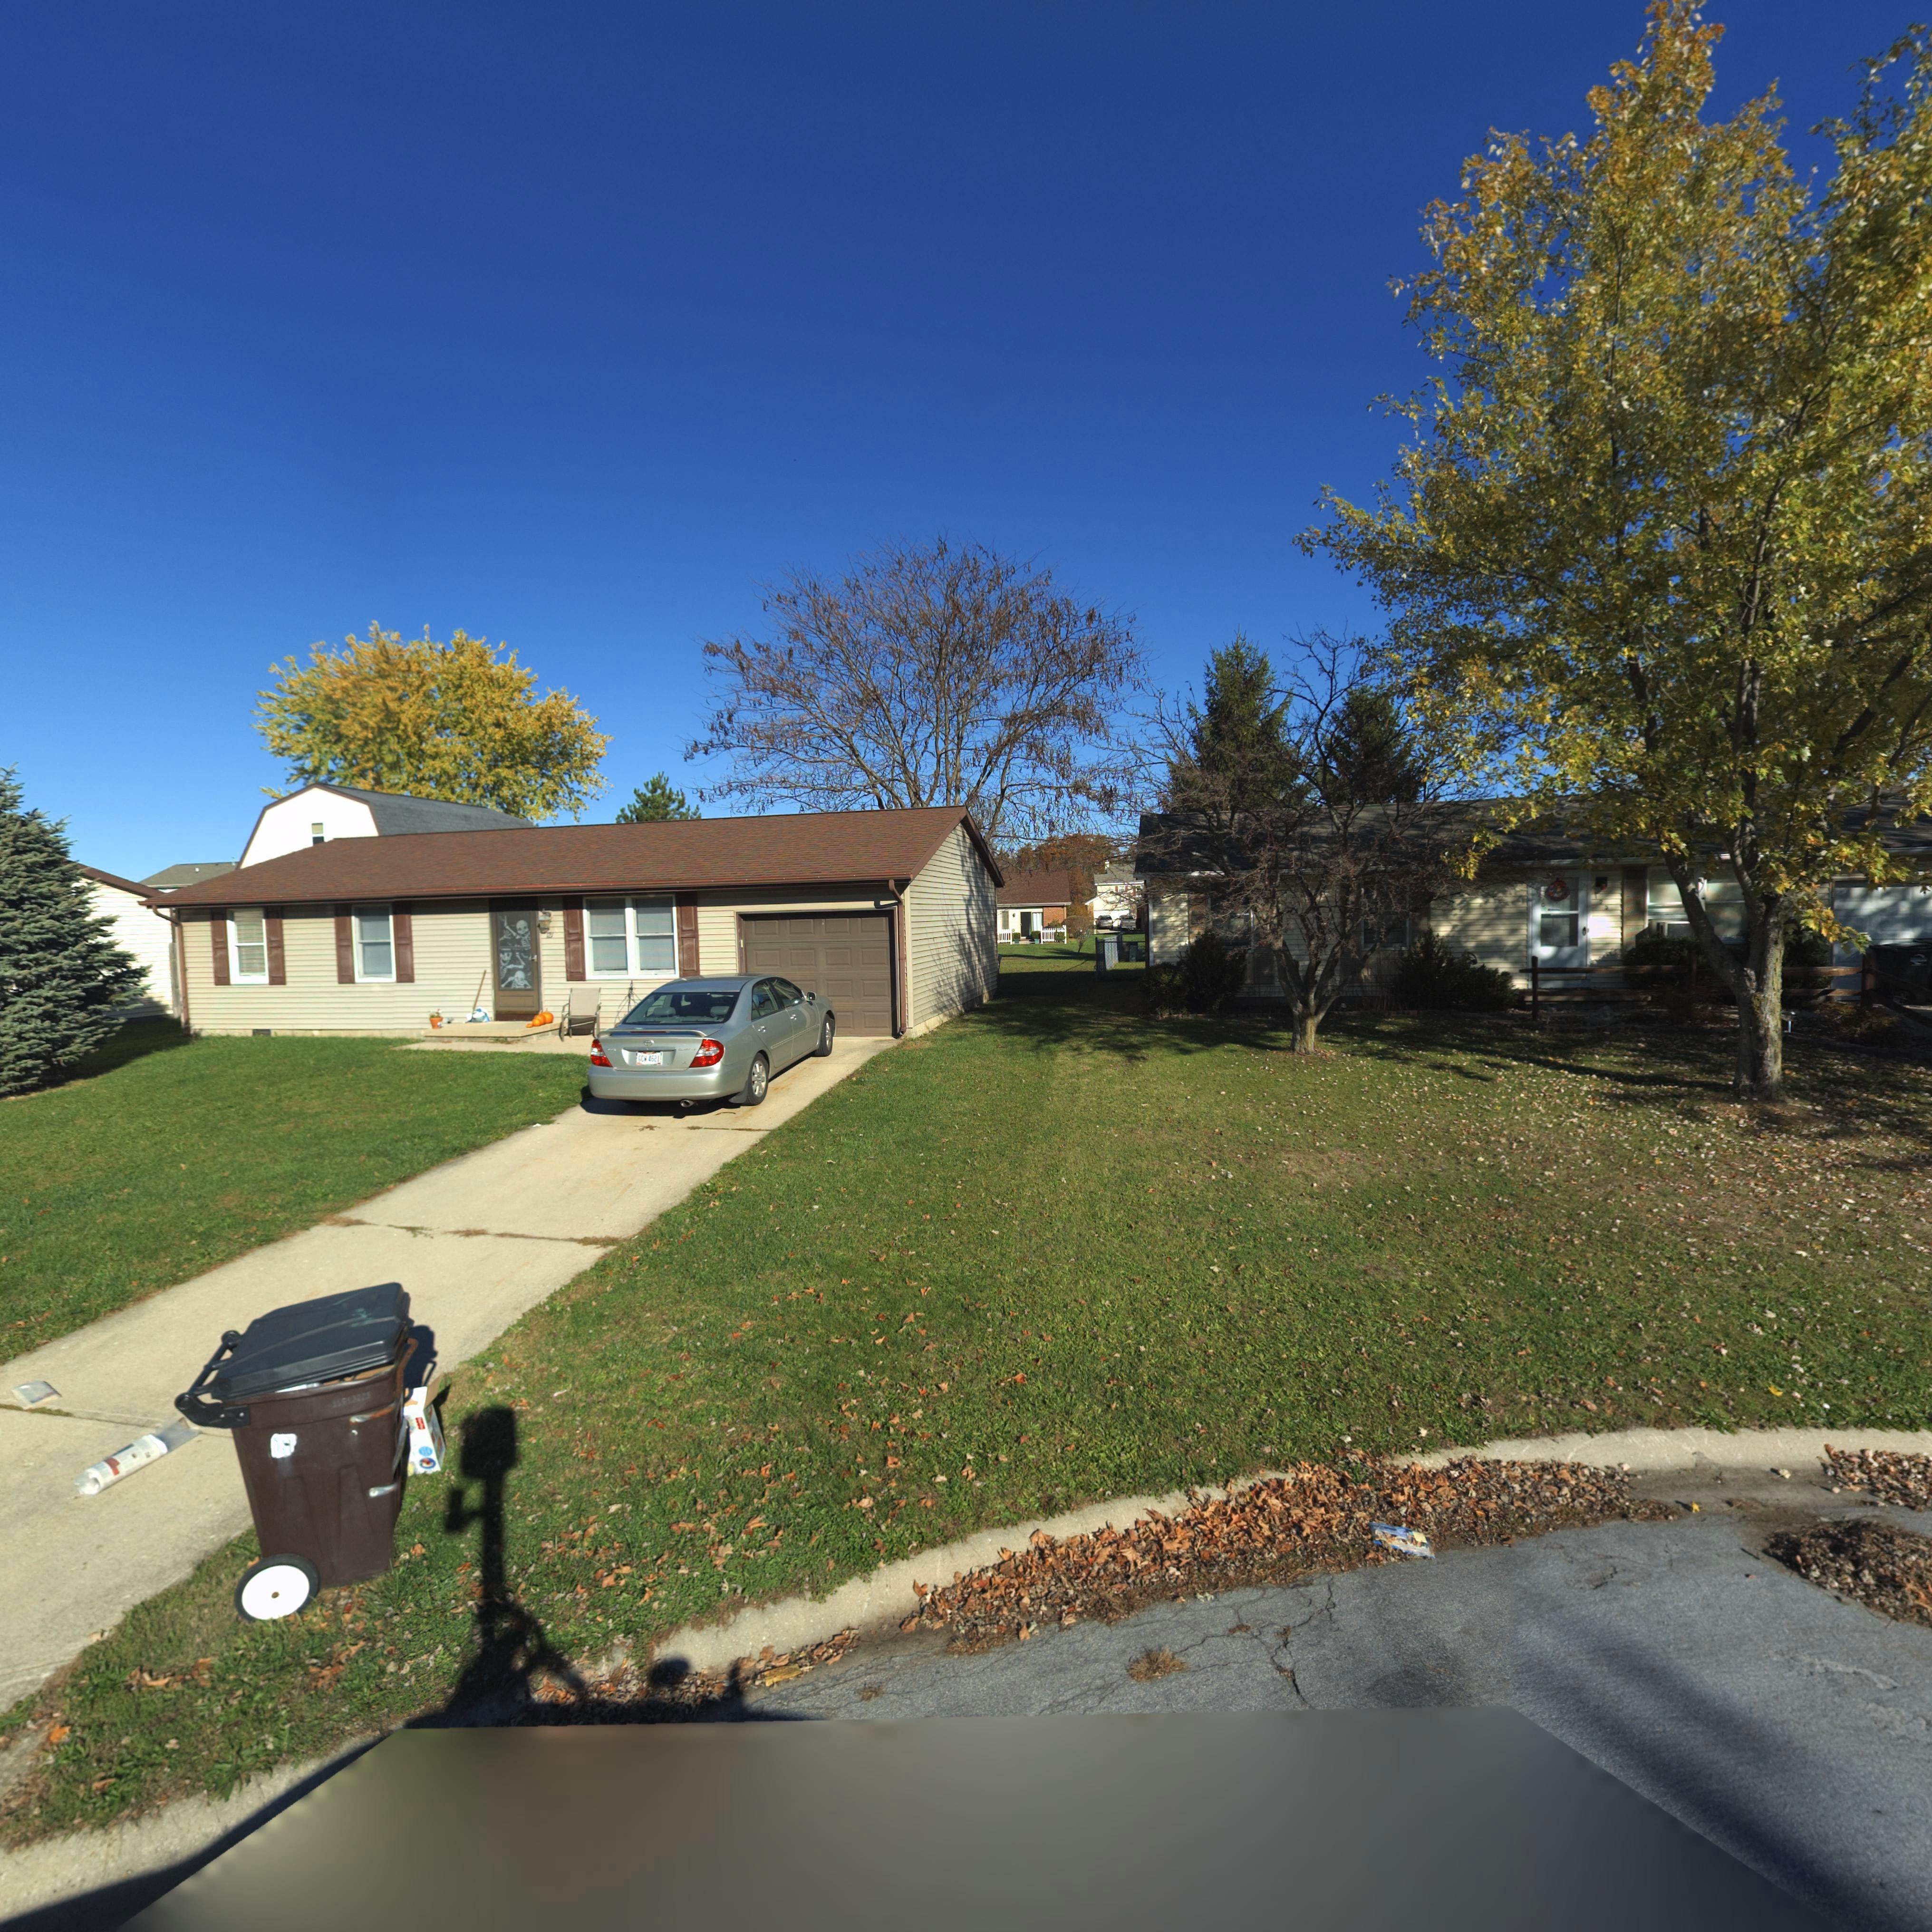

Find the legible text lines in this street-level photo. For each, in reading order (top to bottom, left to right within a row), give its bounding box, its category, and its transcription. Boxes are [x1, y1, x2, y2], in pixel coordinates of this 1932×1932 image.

[1594, 893, 1609, 911] StreetNumber: 123
[546, 931, 555, 939] StreetNumber: 121